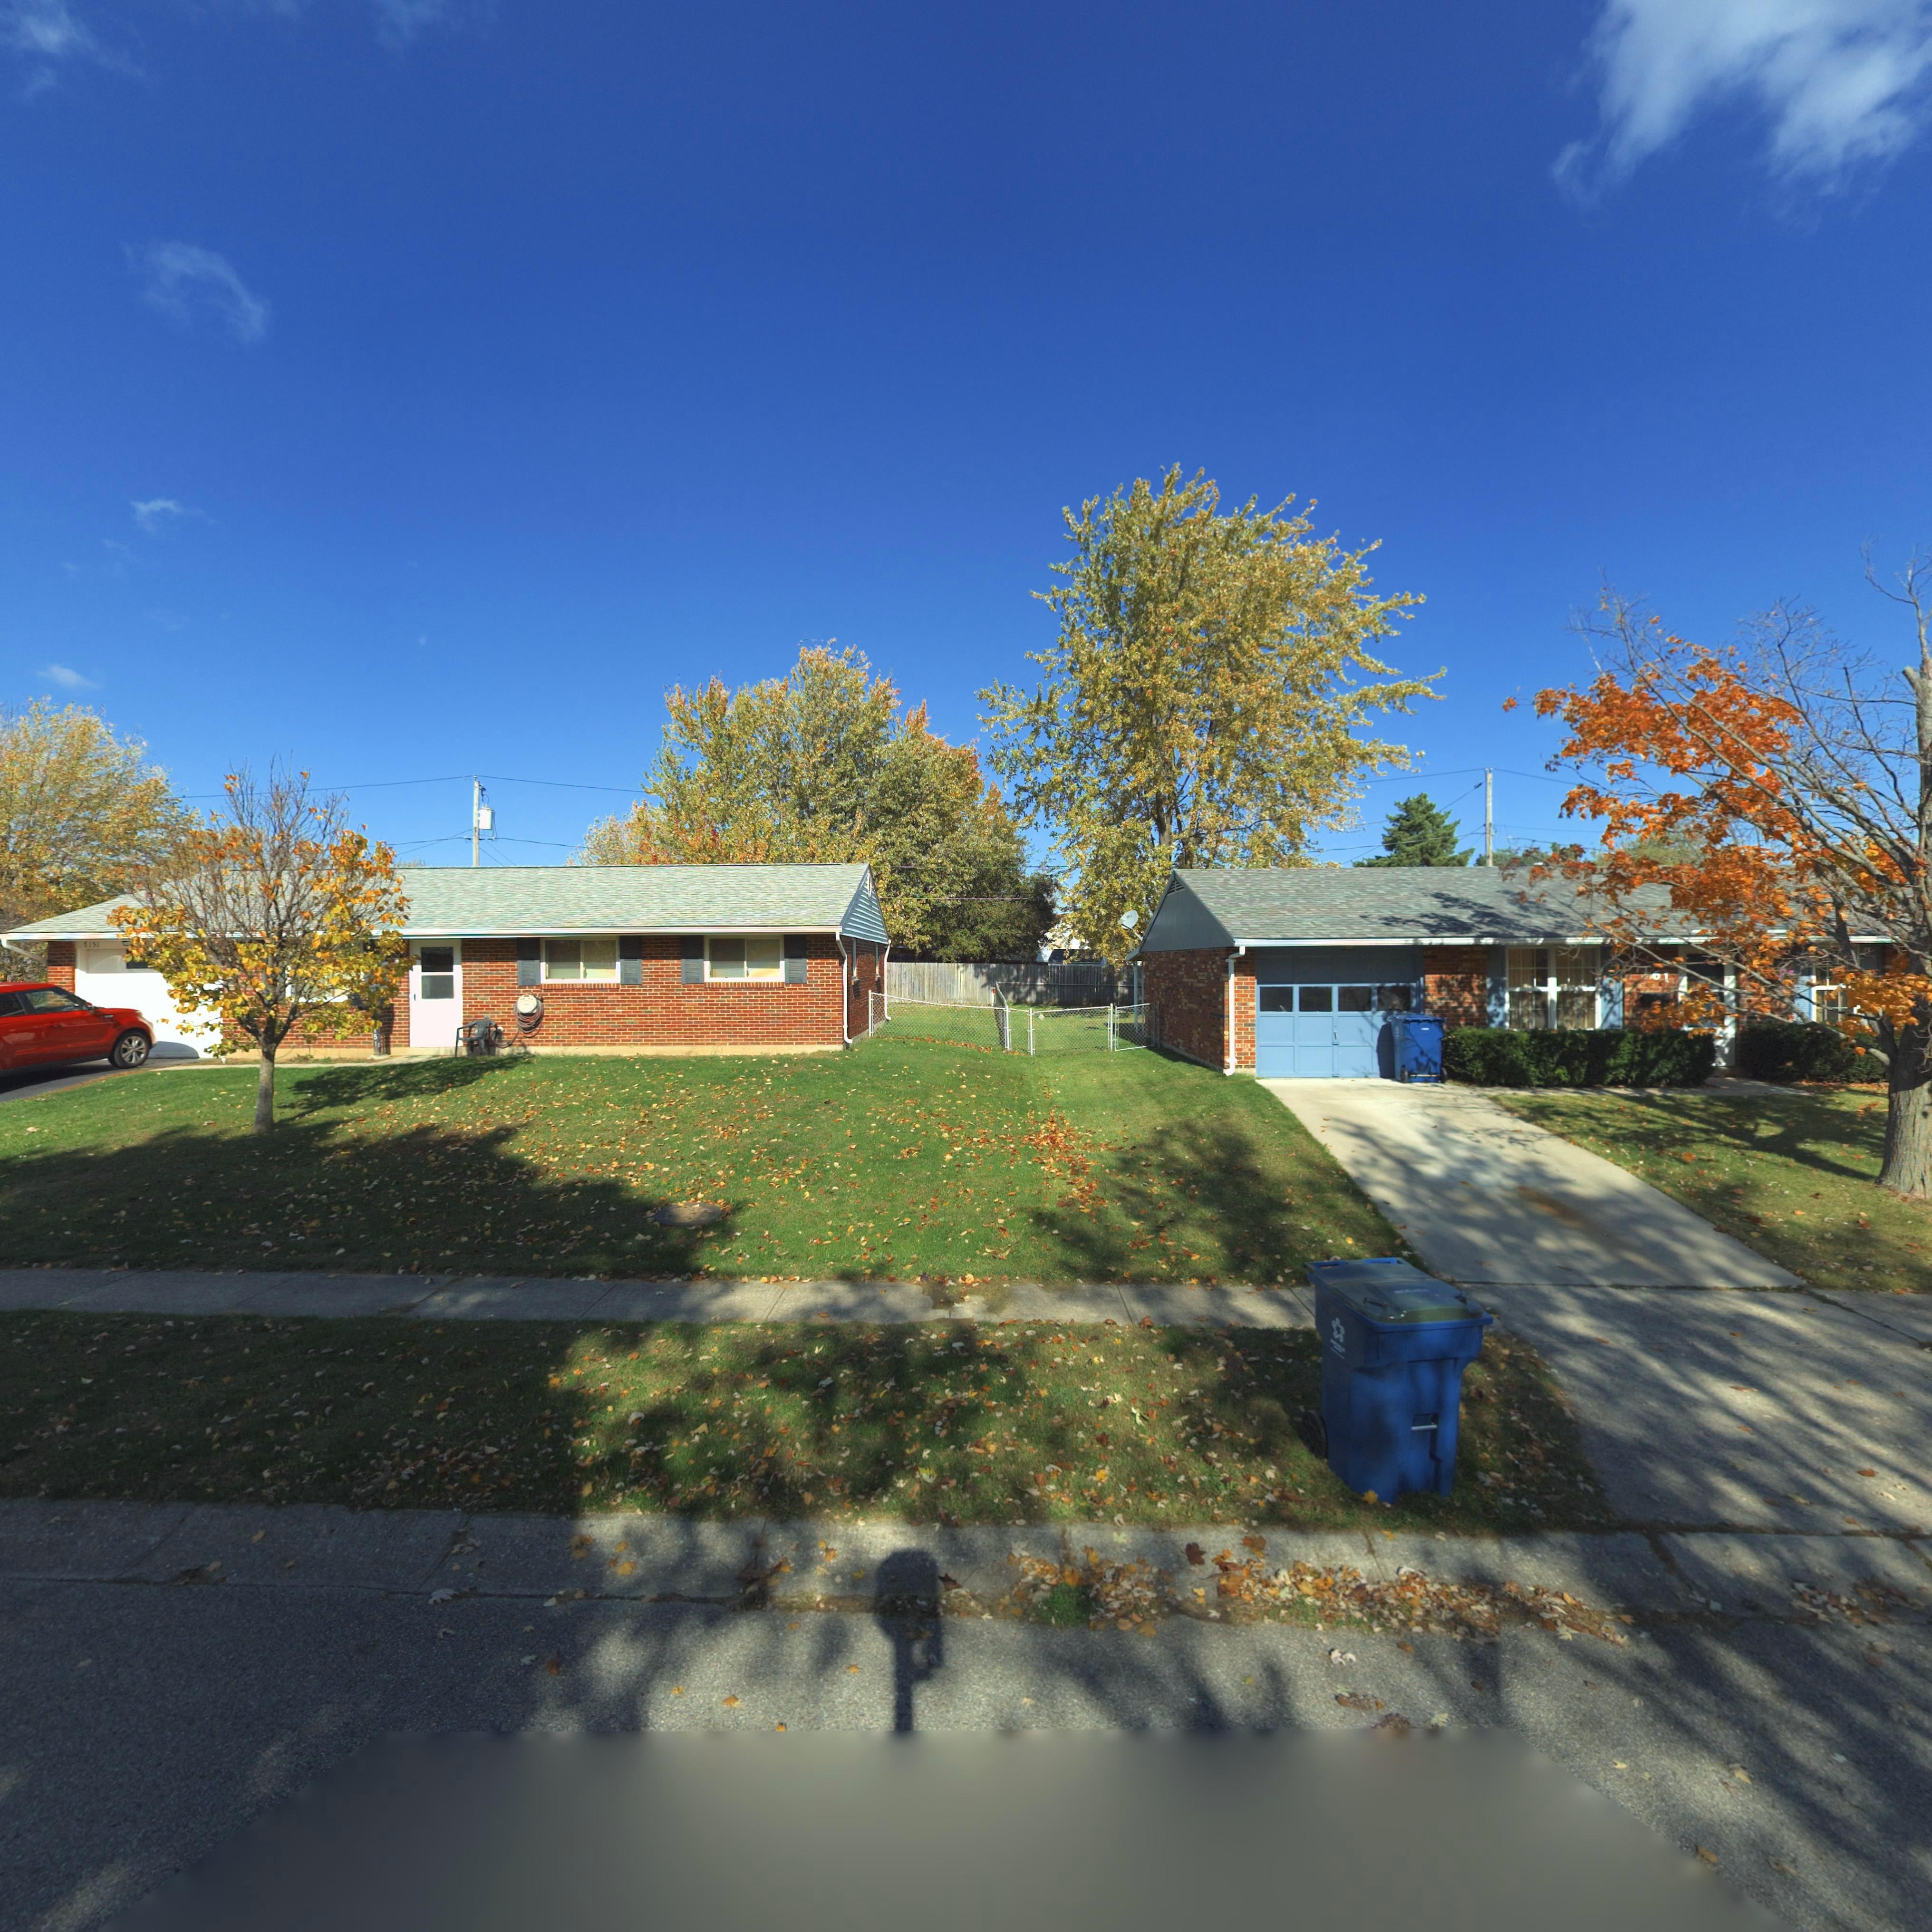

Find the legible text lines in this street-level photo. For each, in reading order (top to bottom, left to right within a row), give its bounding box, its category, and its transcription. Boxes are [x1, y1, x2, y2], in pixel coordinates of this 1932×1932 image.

[82, 940, 100, 950] StreetNumber: *15*
[372, 1033, 379, 1048] StreetNumber: 51